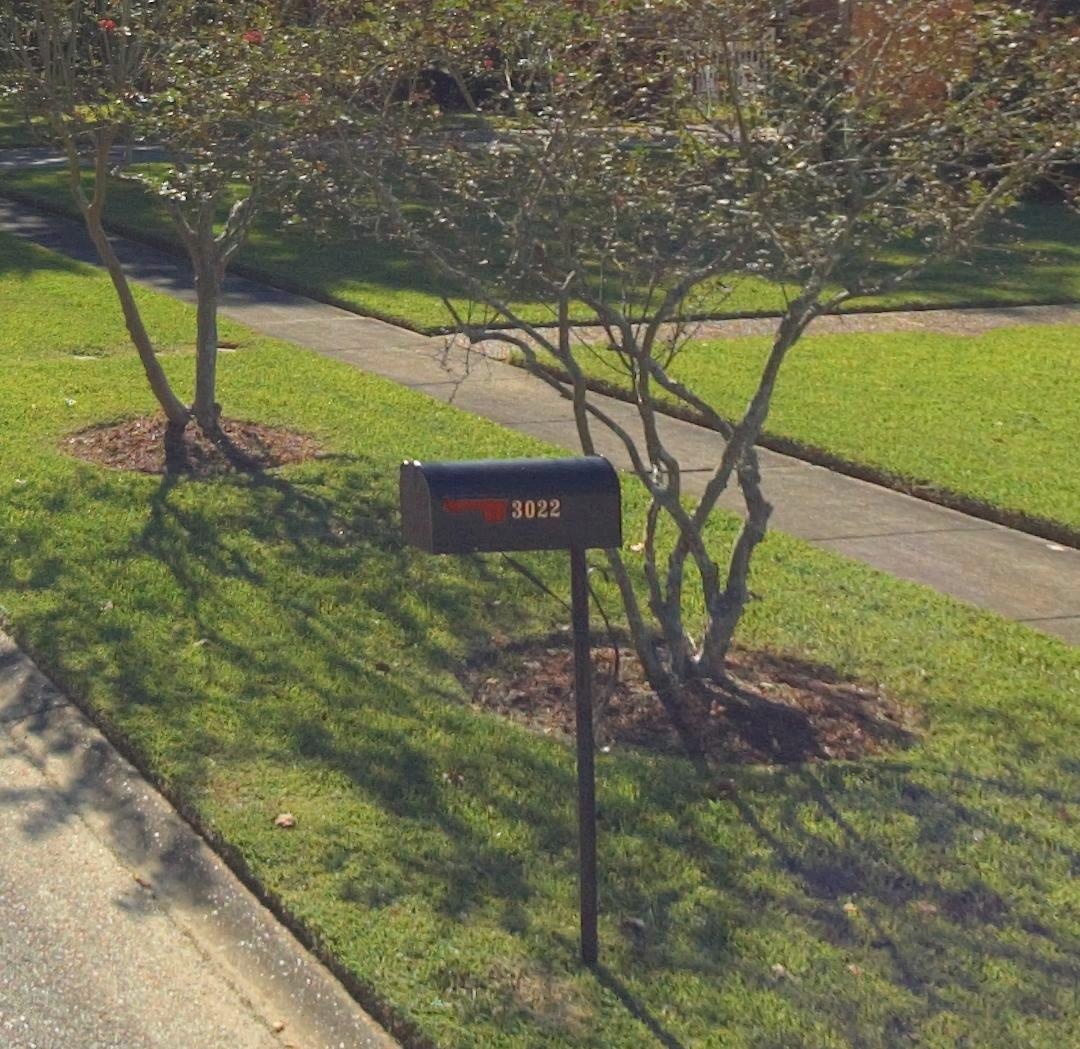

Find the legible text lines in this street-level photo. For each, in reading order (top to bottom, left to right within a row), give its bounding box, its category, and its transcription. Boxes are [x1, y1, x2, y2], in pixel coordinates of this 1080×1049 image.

[509, 496, 563, 522] StreetNumber: 3022